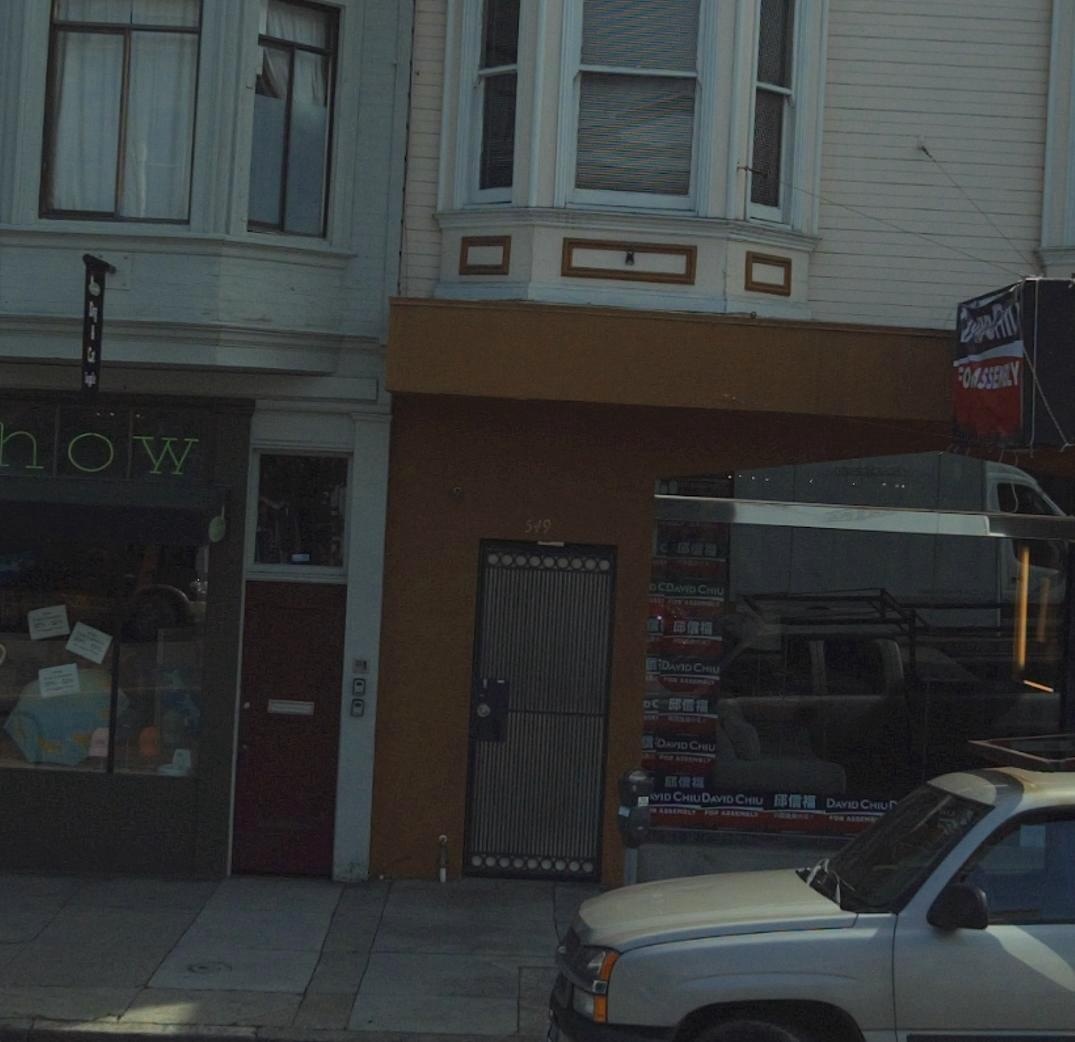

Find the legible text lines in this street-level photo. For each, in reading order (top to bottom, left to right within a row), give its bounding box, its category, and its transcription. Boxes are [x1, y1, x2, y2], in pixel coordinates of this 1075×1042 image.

[956, 357, 1021, 394] None: *O*ASS*B*Y
[0, 418, 207, 480] BusinessName: *ow
[522, 518, 552, 535] StreetNumber: 549
[659, 542, 669, 555] None: C
[648, 581, 666, 593] None: DC
[665, 581, 727, 598] None: DAVID CHIU
[665, 597, 722, 610] None: FOR ASSEMBLY
[660, 659, 720, 674] None: DAVID CHIU
[661, 676, 716, 687] None: FOR ASSEMBLY
[642, 699, 659, 709] None: DC
[655, 737, 716, 754] None: DAVID CHIU
[658, 754, 712, 764] None: FOR ASSEMBLY
[648, 791, 701, 805] None: **VID CHIU
[700, 791, 765, 805] None: DAVID CHIU
[824, 796, 892, 812] None: DAVID CHIU
[658, 807, 697, 816] None: ASSEMBLY
[704, 808, 759, 818] None: FOR ASSEMBLY
[828, 814, 882, 824] None: FOR ASSEM***